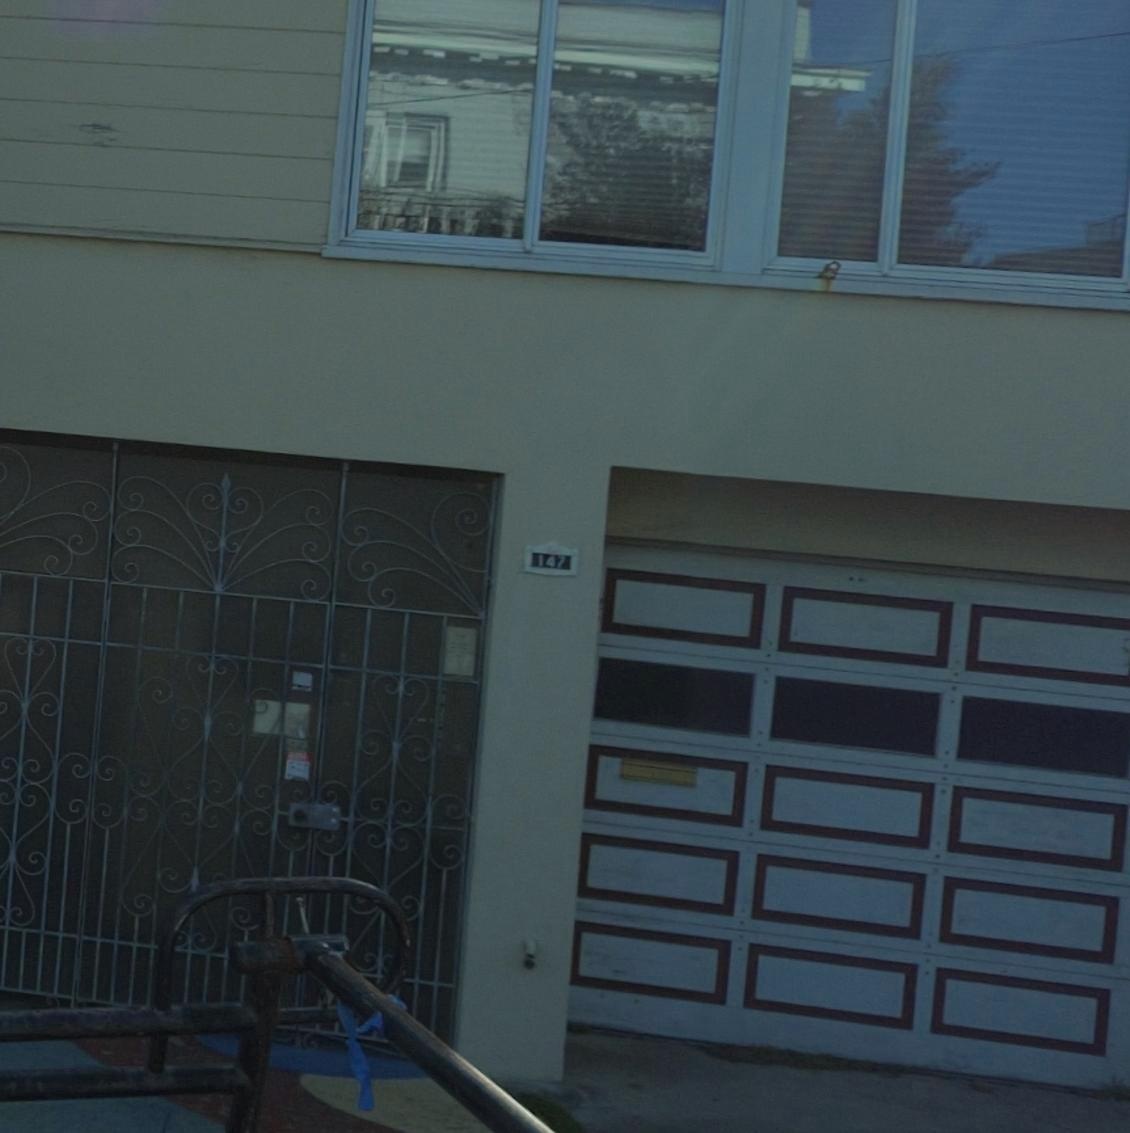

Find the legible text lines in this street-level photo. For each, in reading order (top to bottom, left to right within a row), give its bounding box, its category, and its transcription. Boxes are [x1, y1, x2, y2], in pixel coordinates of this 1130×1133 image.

[532, 553, 570, 569] StreetNumber: 147